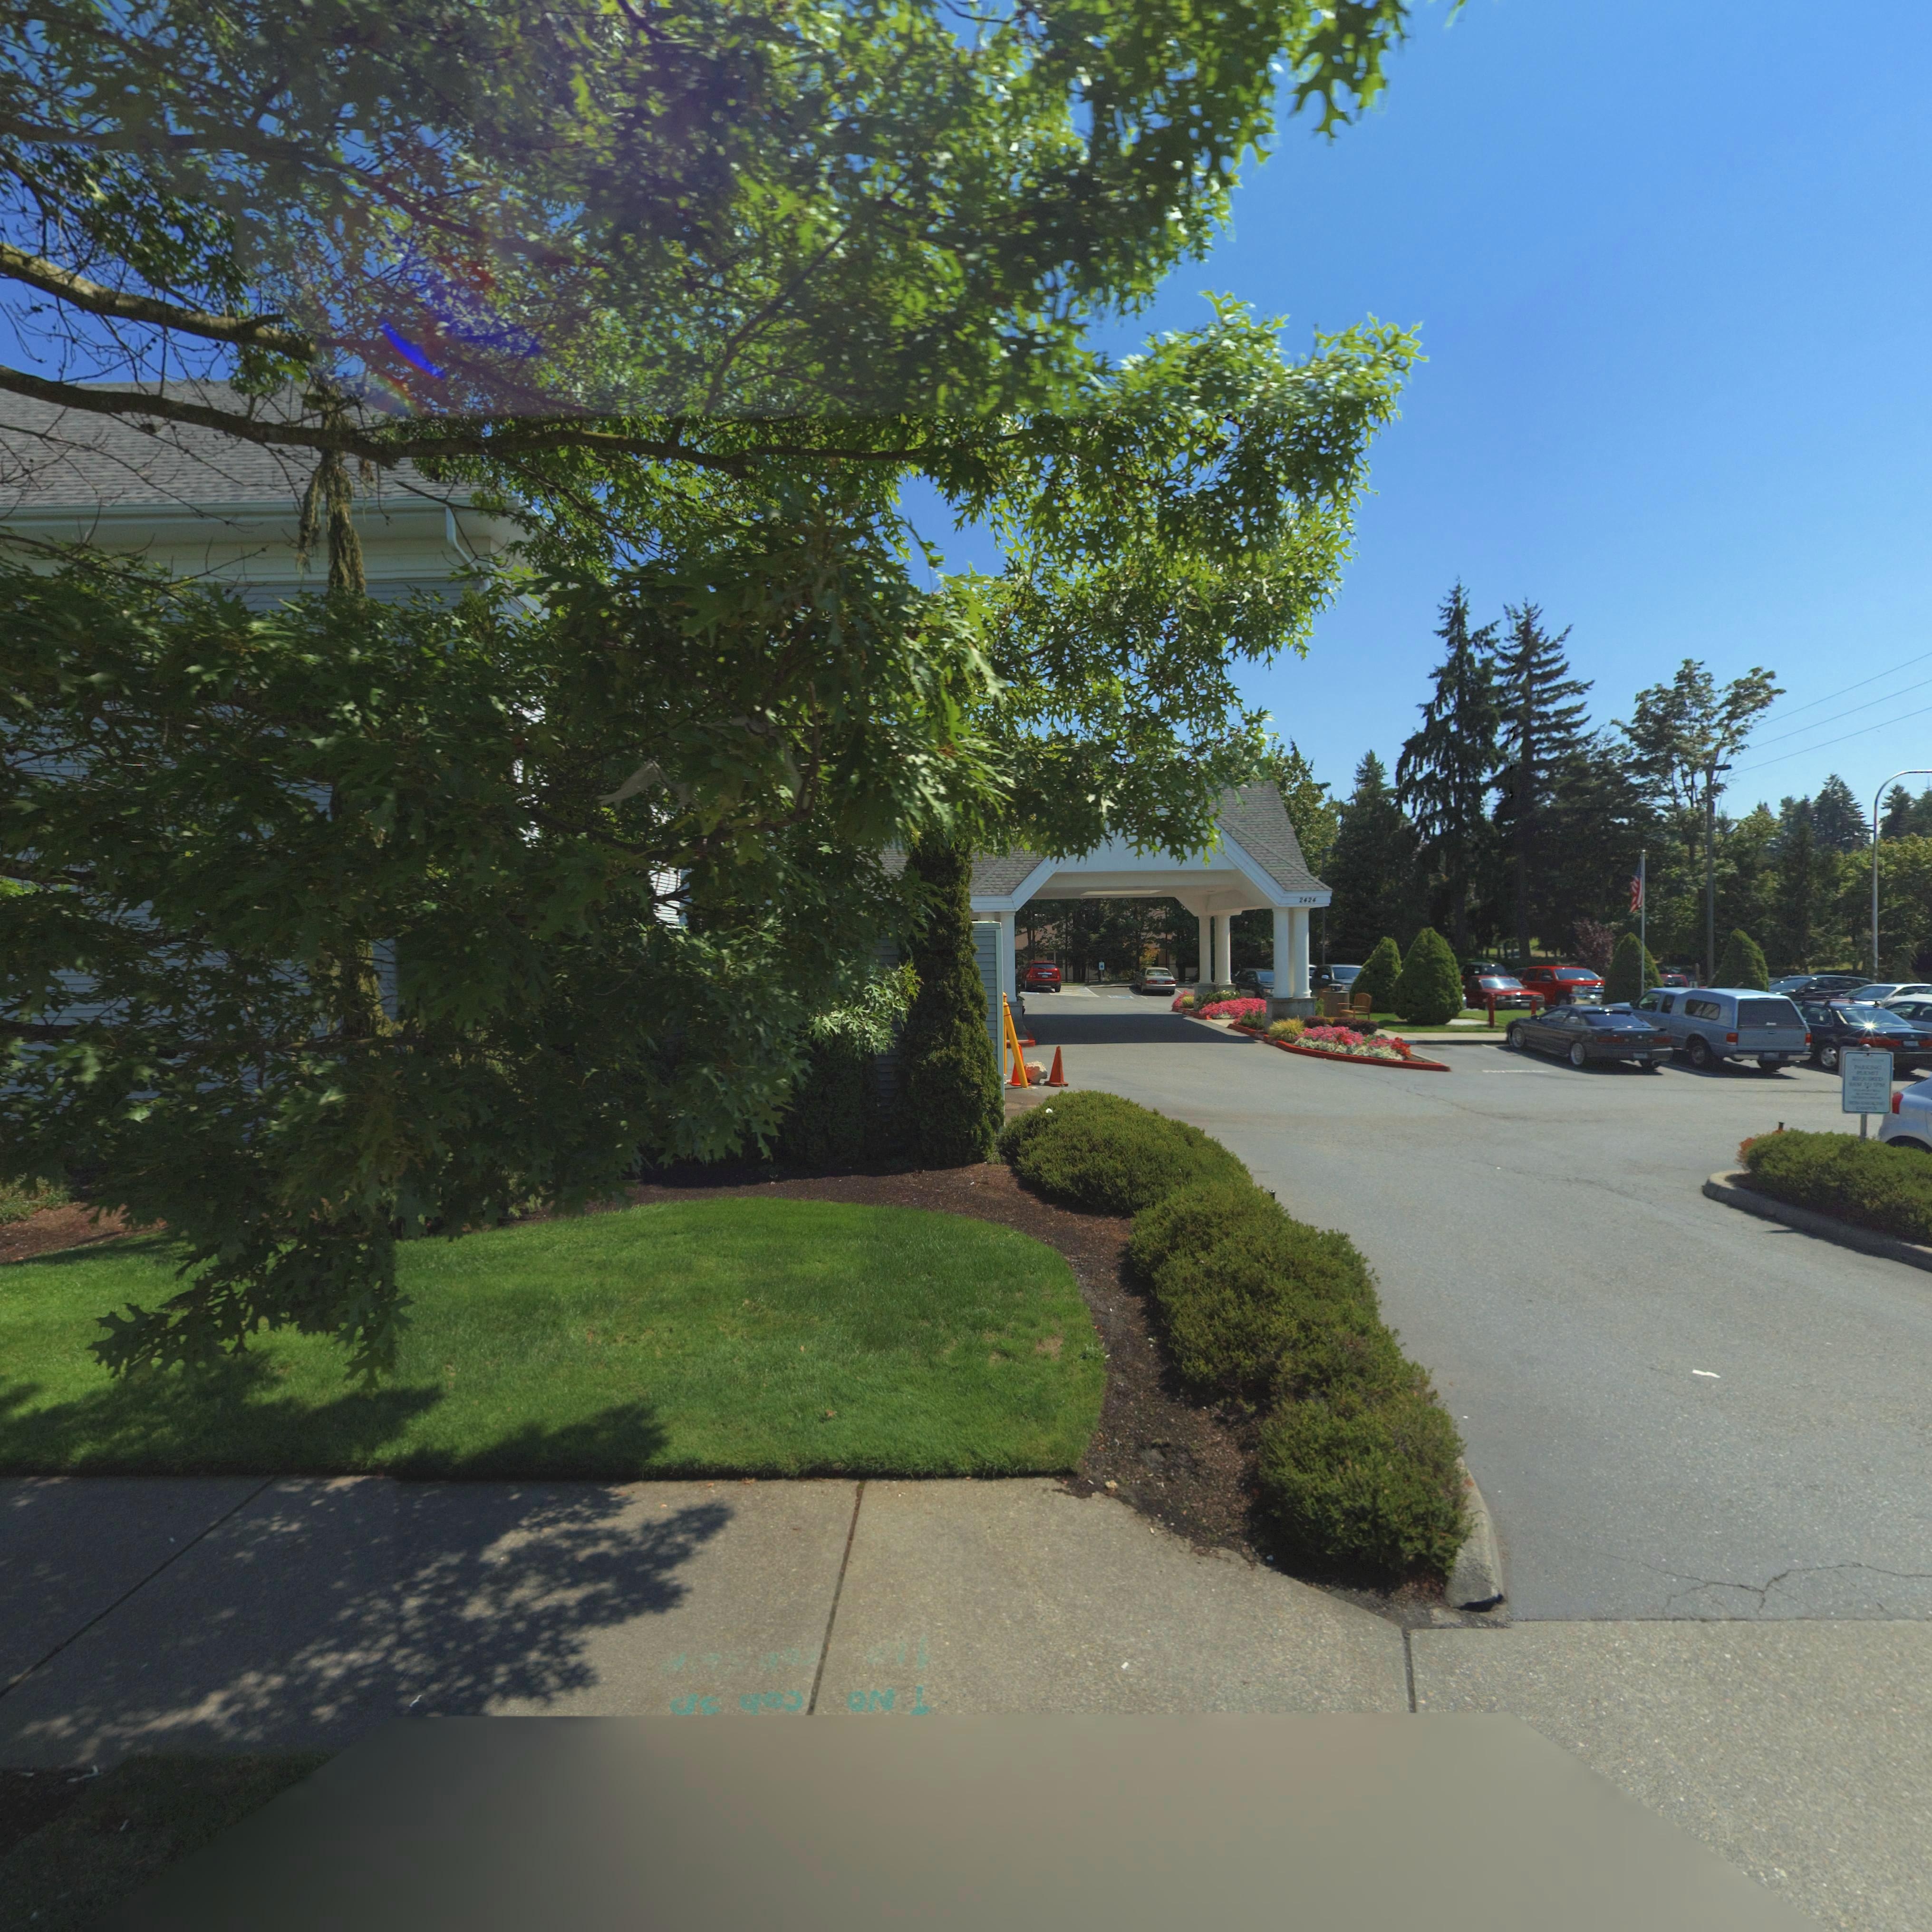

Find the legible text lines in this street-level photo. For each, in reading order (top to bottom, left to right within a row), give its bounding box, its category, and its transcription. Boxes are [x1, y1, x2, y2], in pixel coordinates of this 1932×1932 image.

[1299, 896, 1317, 903] StreetNumber: 2424